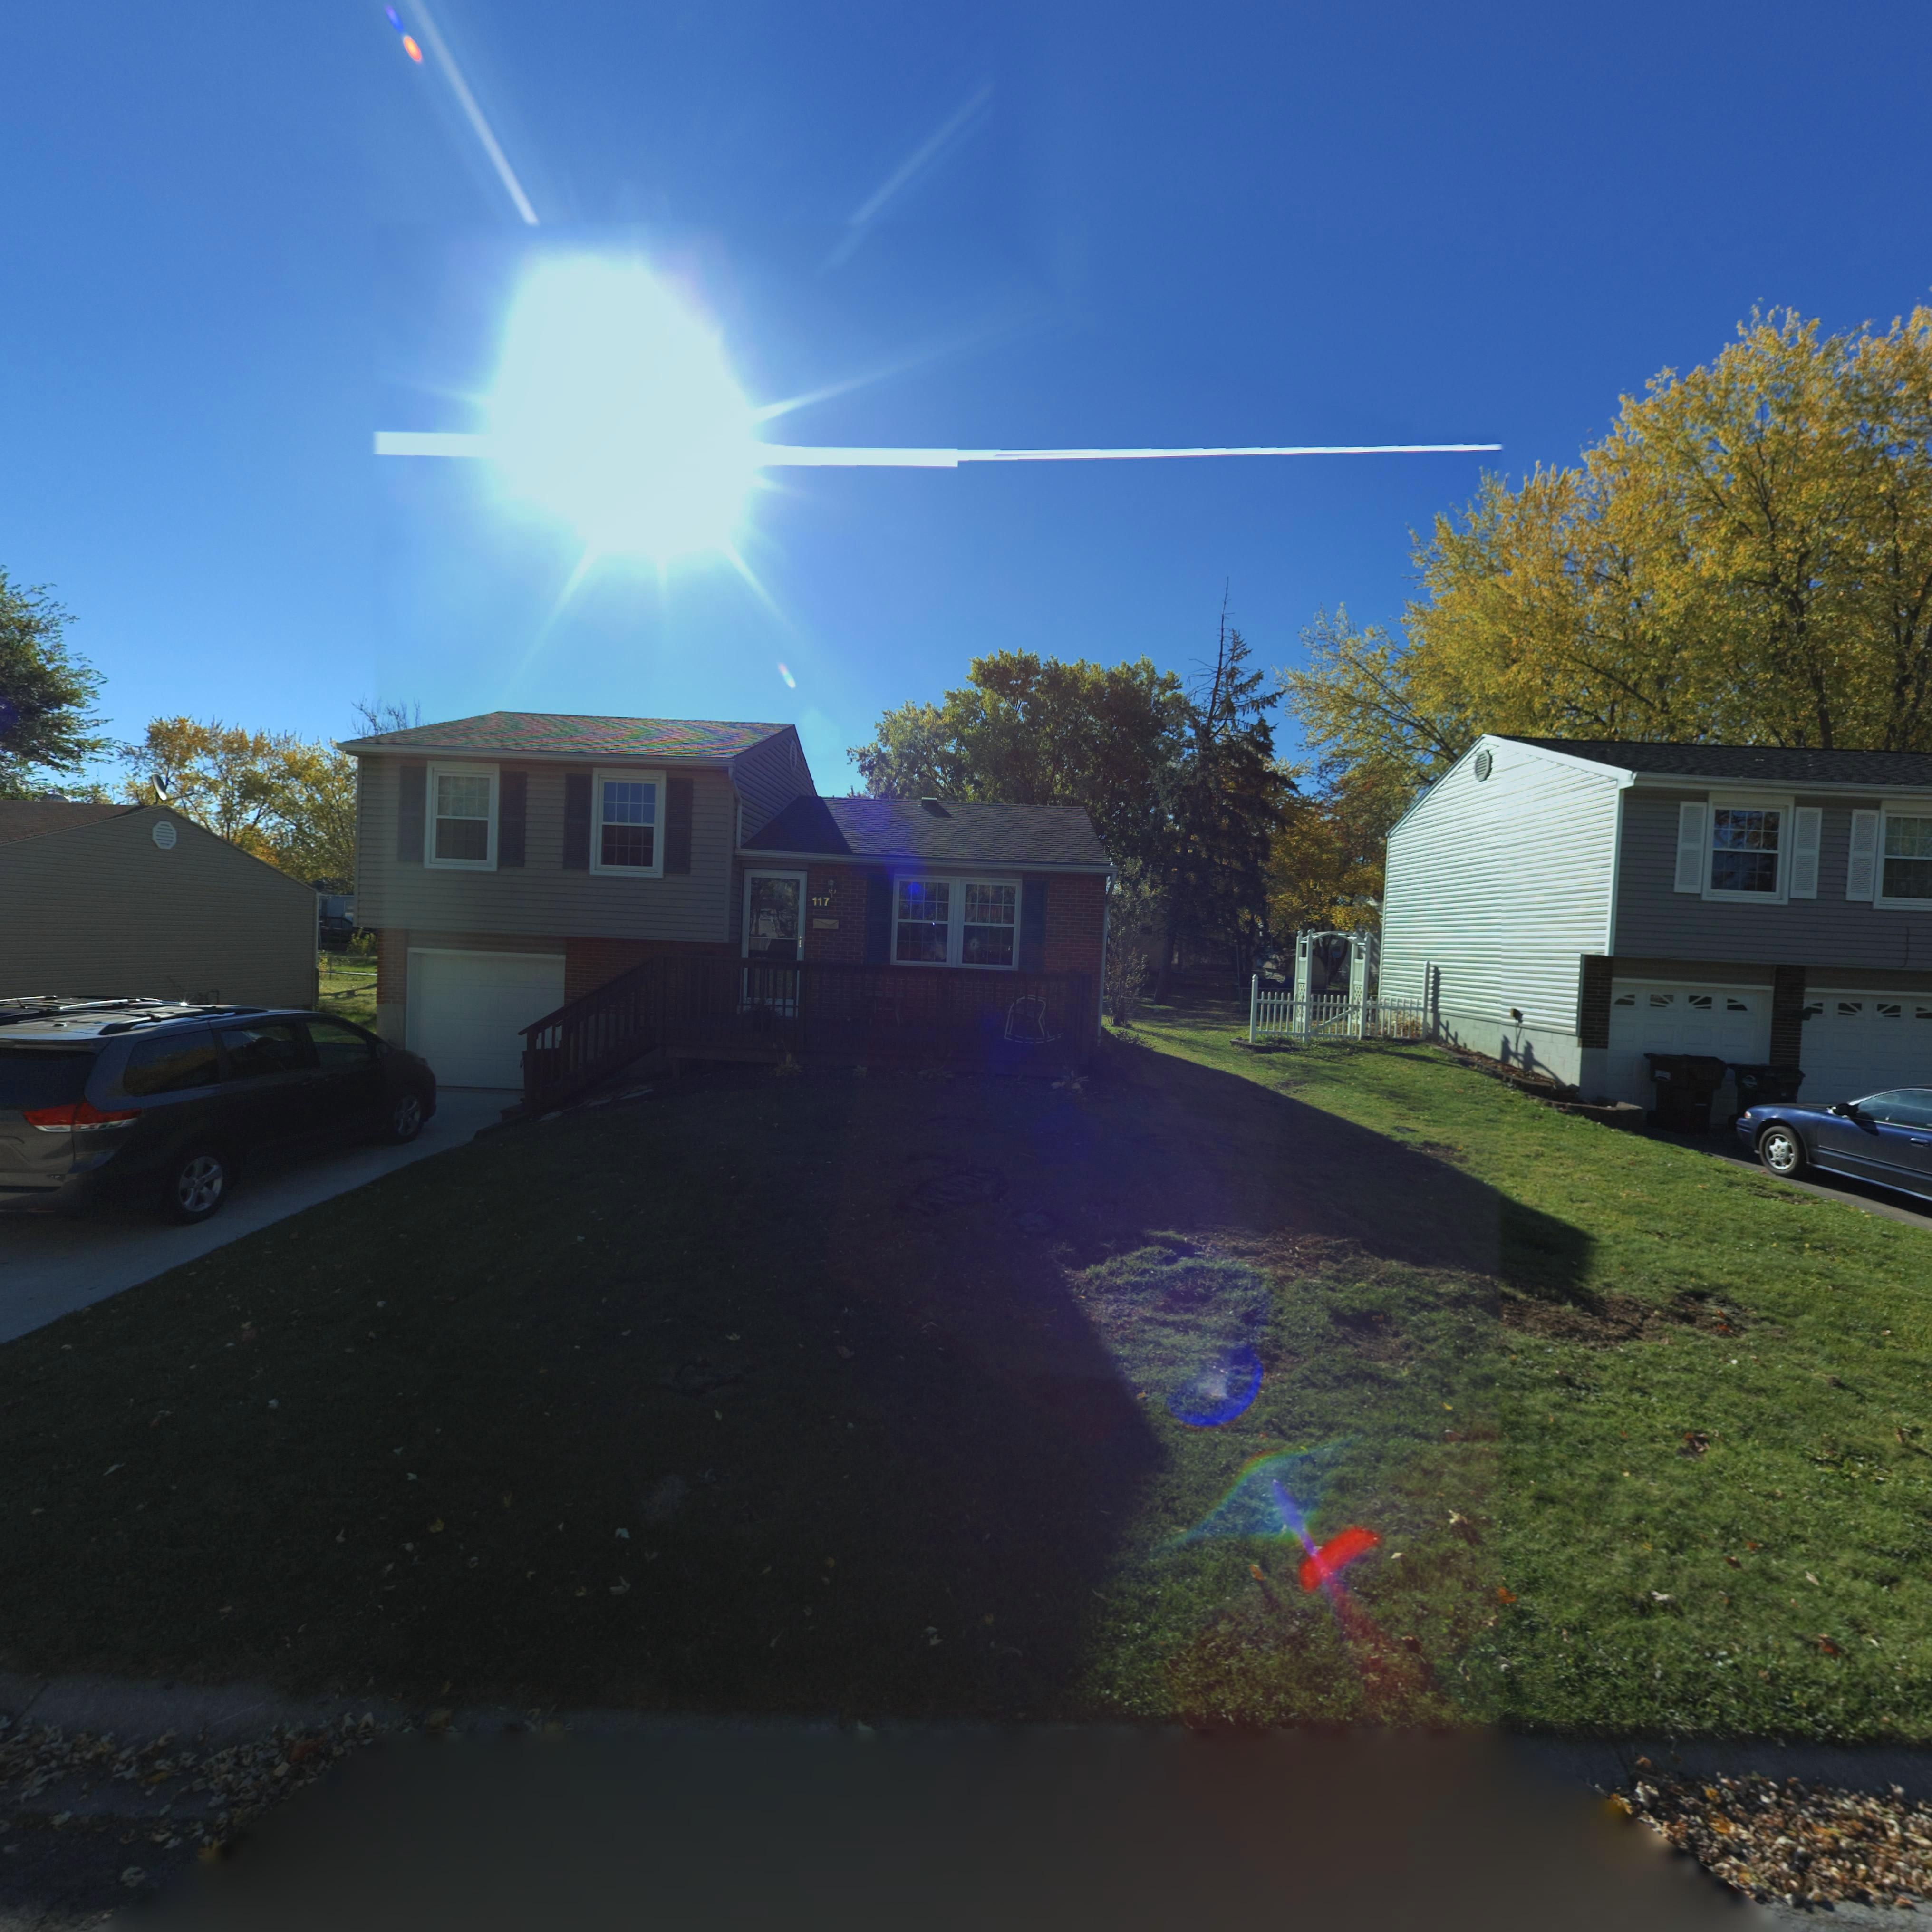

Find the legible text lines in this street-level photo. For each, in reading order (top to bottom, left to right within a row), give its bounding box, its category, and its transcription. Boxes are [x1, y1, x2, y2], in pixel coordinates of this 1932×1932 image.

[812, 896, 830, 906] StreetNumber: 117